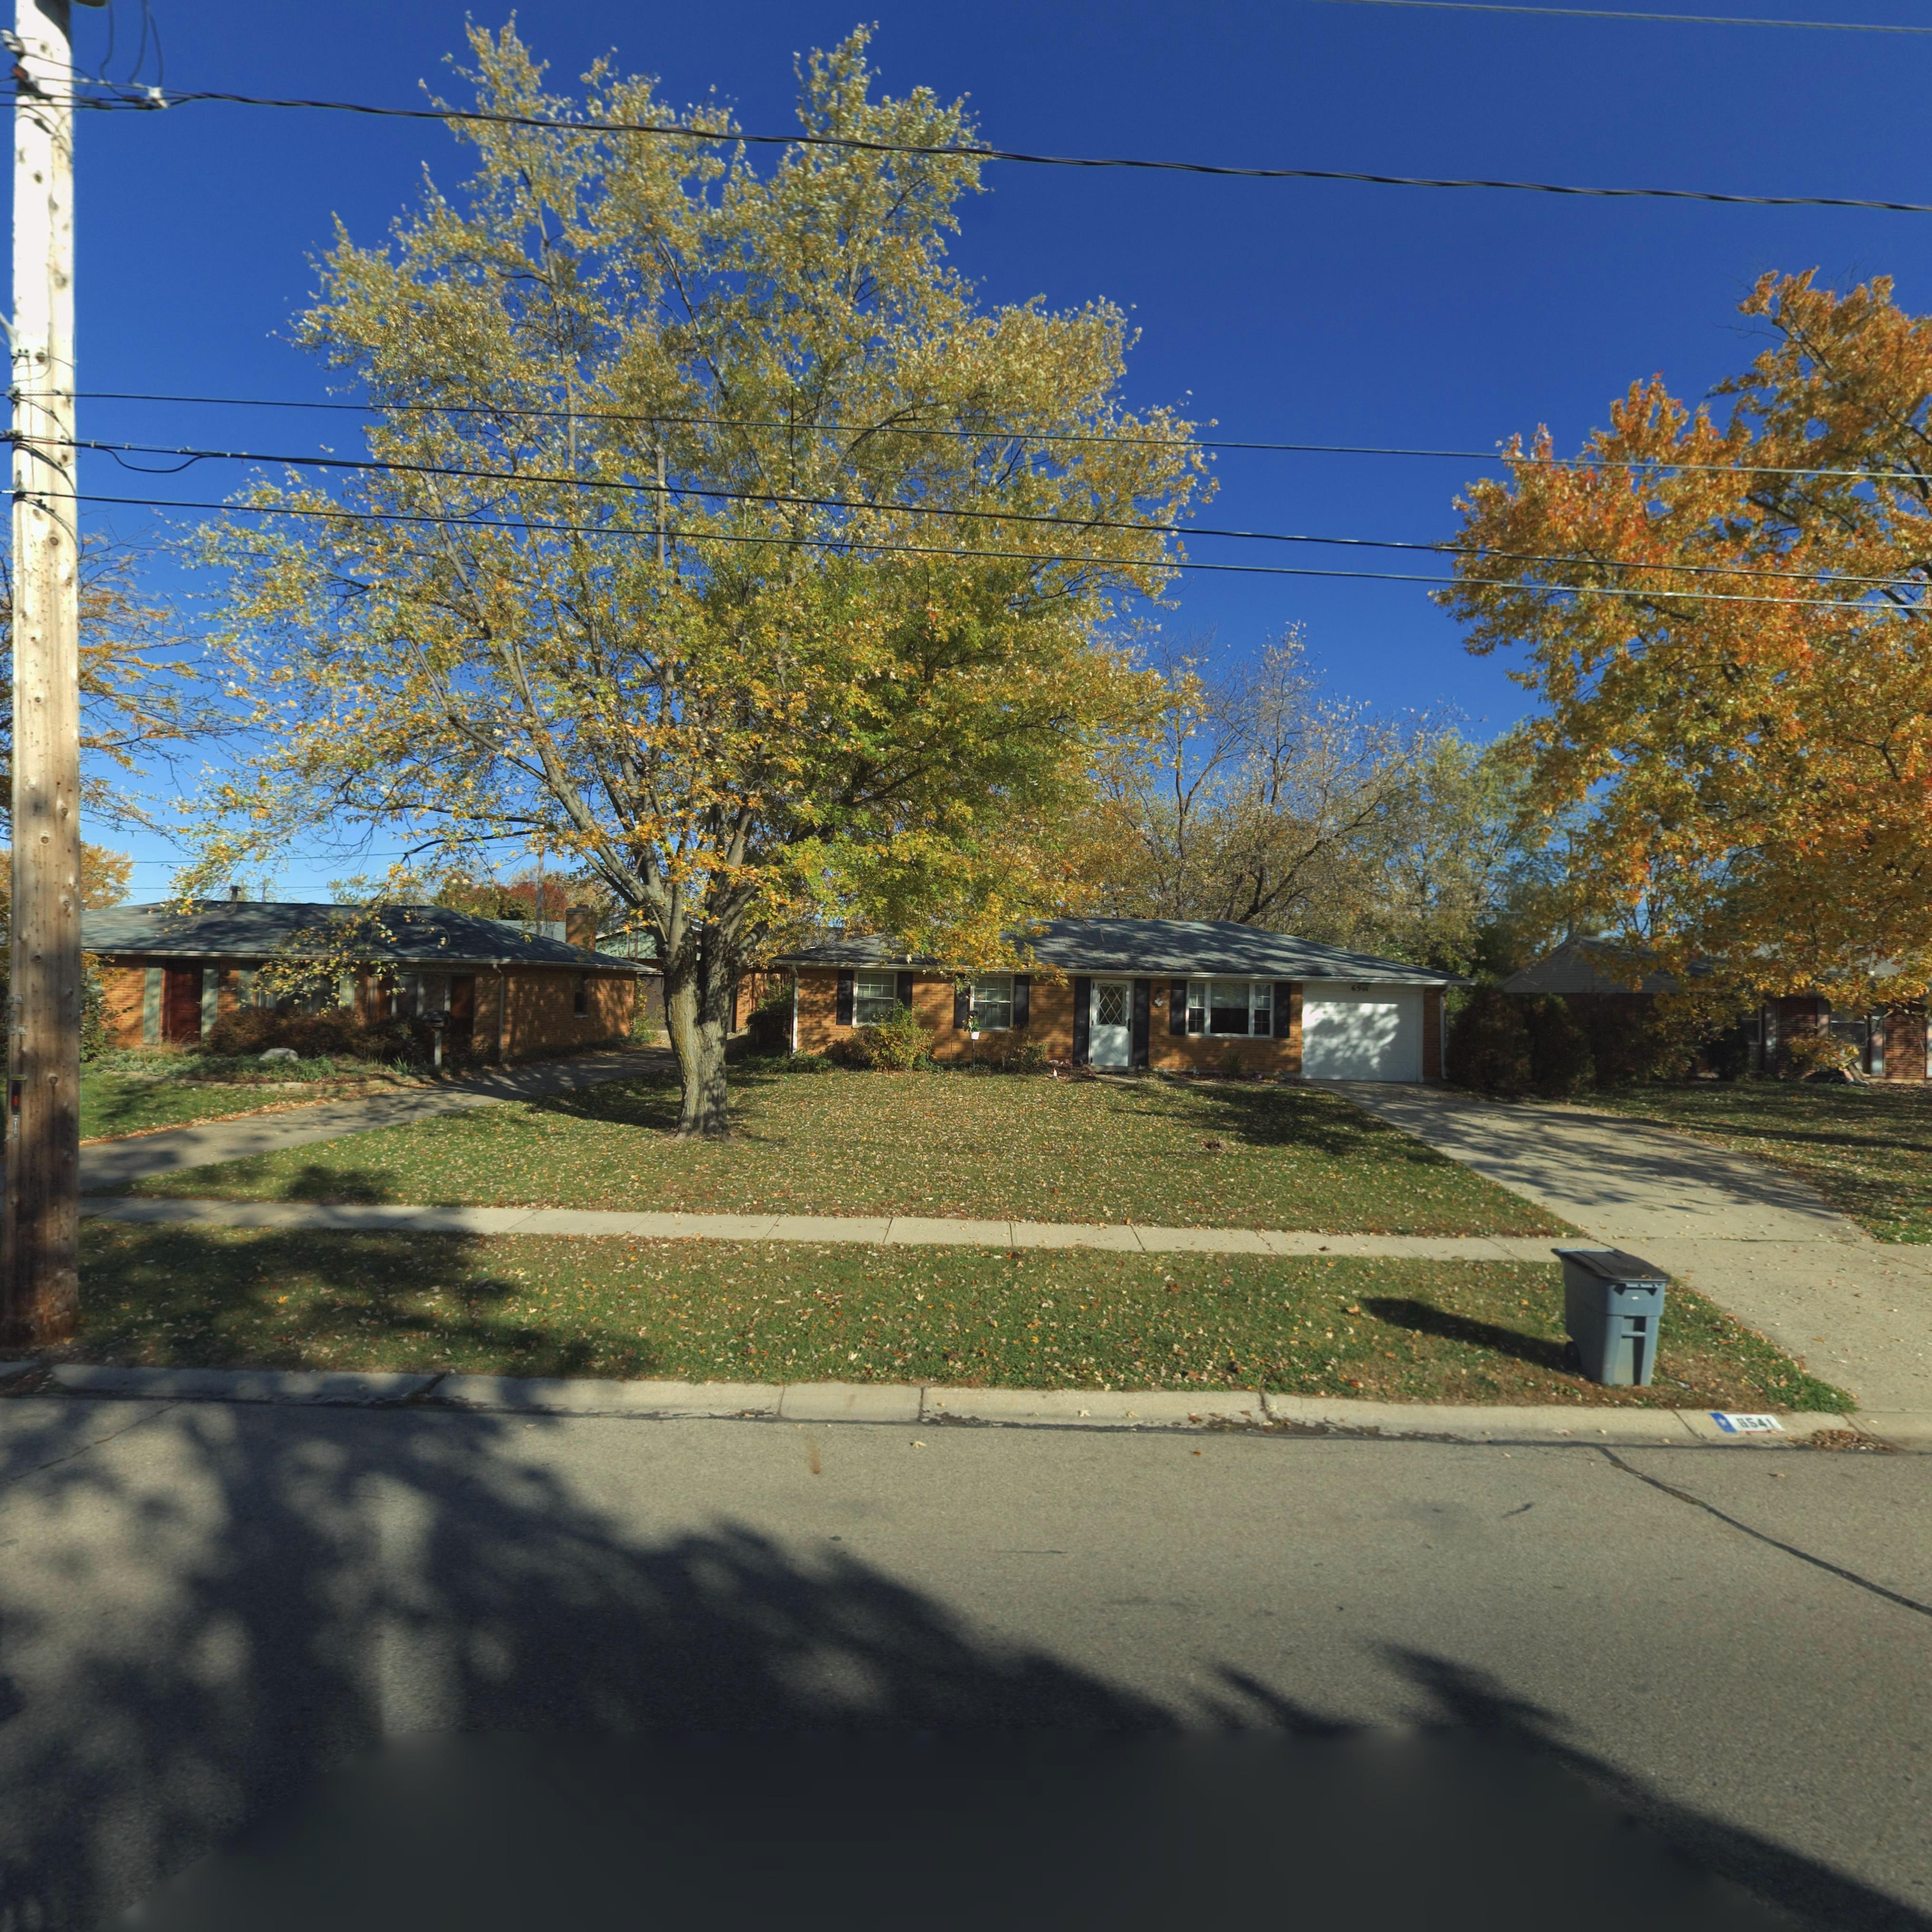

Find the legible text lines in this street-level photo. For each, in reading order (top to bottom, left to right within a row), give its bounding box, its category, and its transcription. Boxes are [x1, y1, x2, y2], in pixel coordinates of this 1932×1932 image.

[1351, 984, 1362, 993] StreetNumber: 65
[1734, 1416, 1778, 1430] StreetNumber: 6541